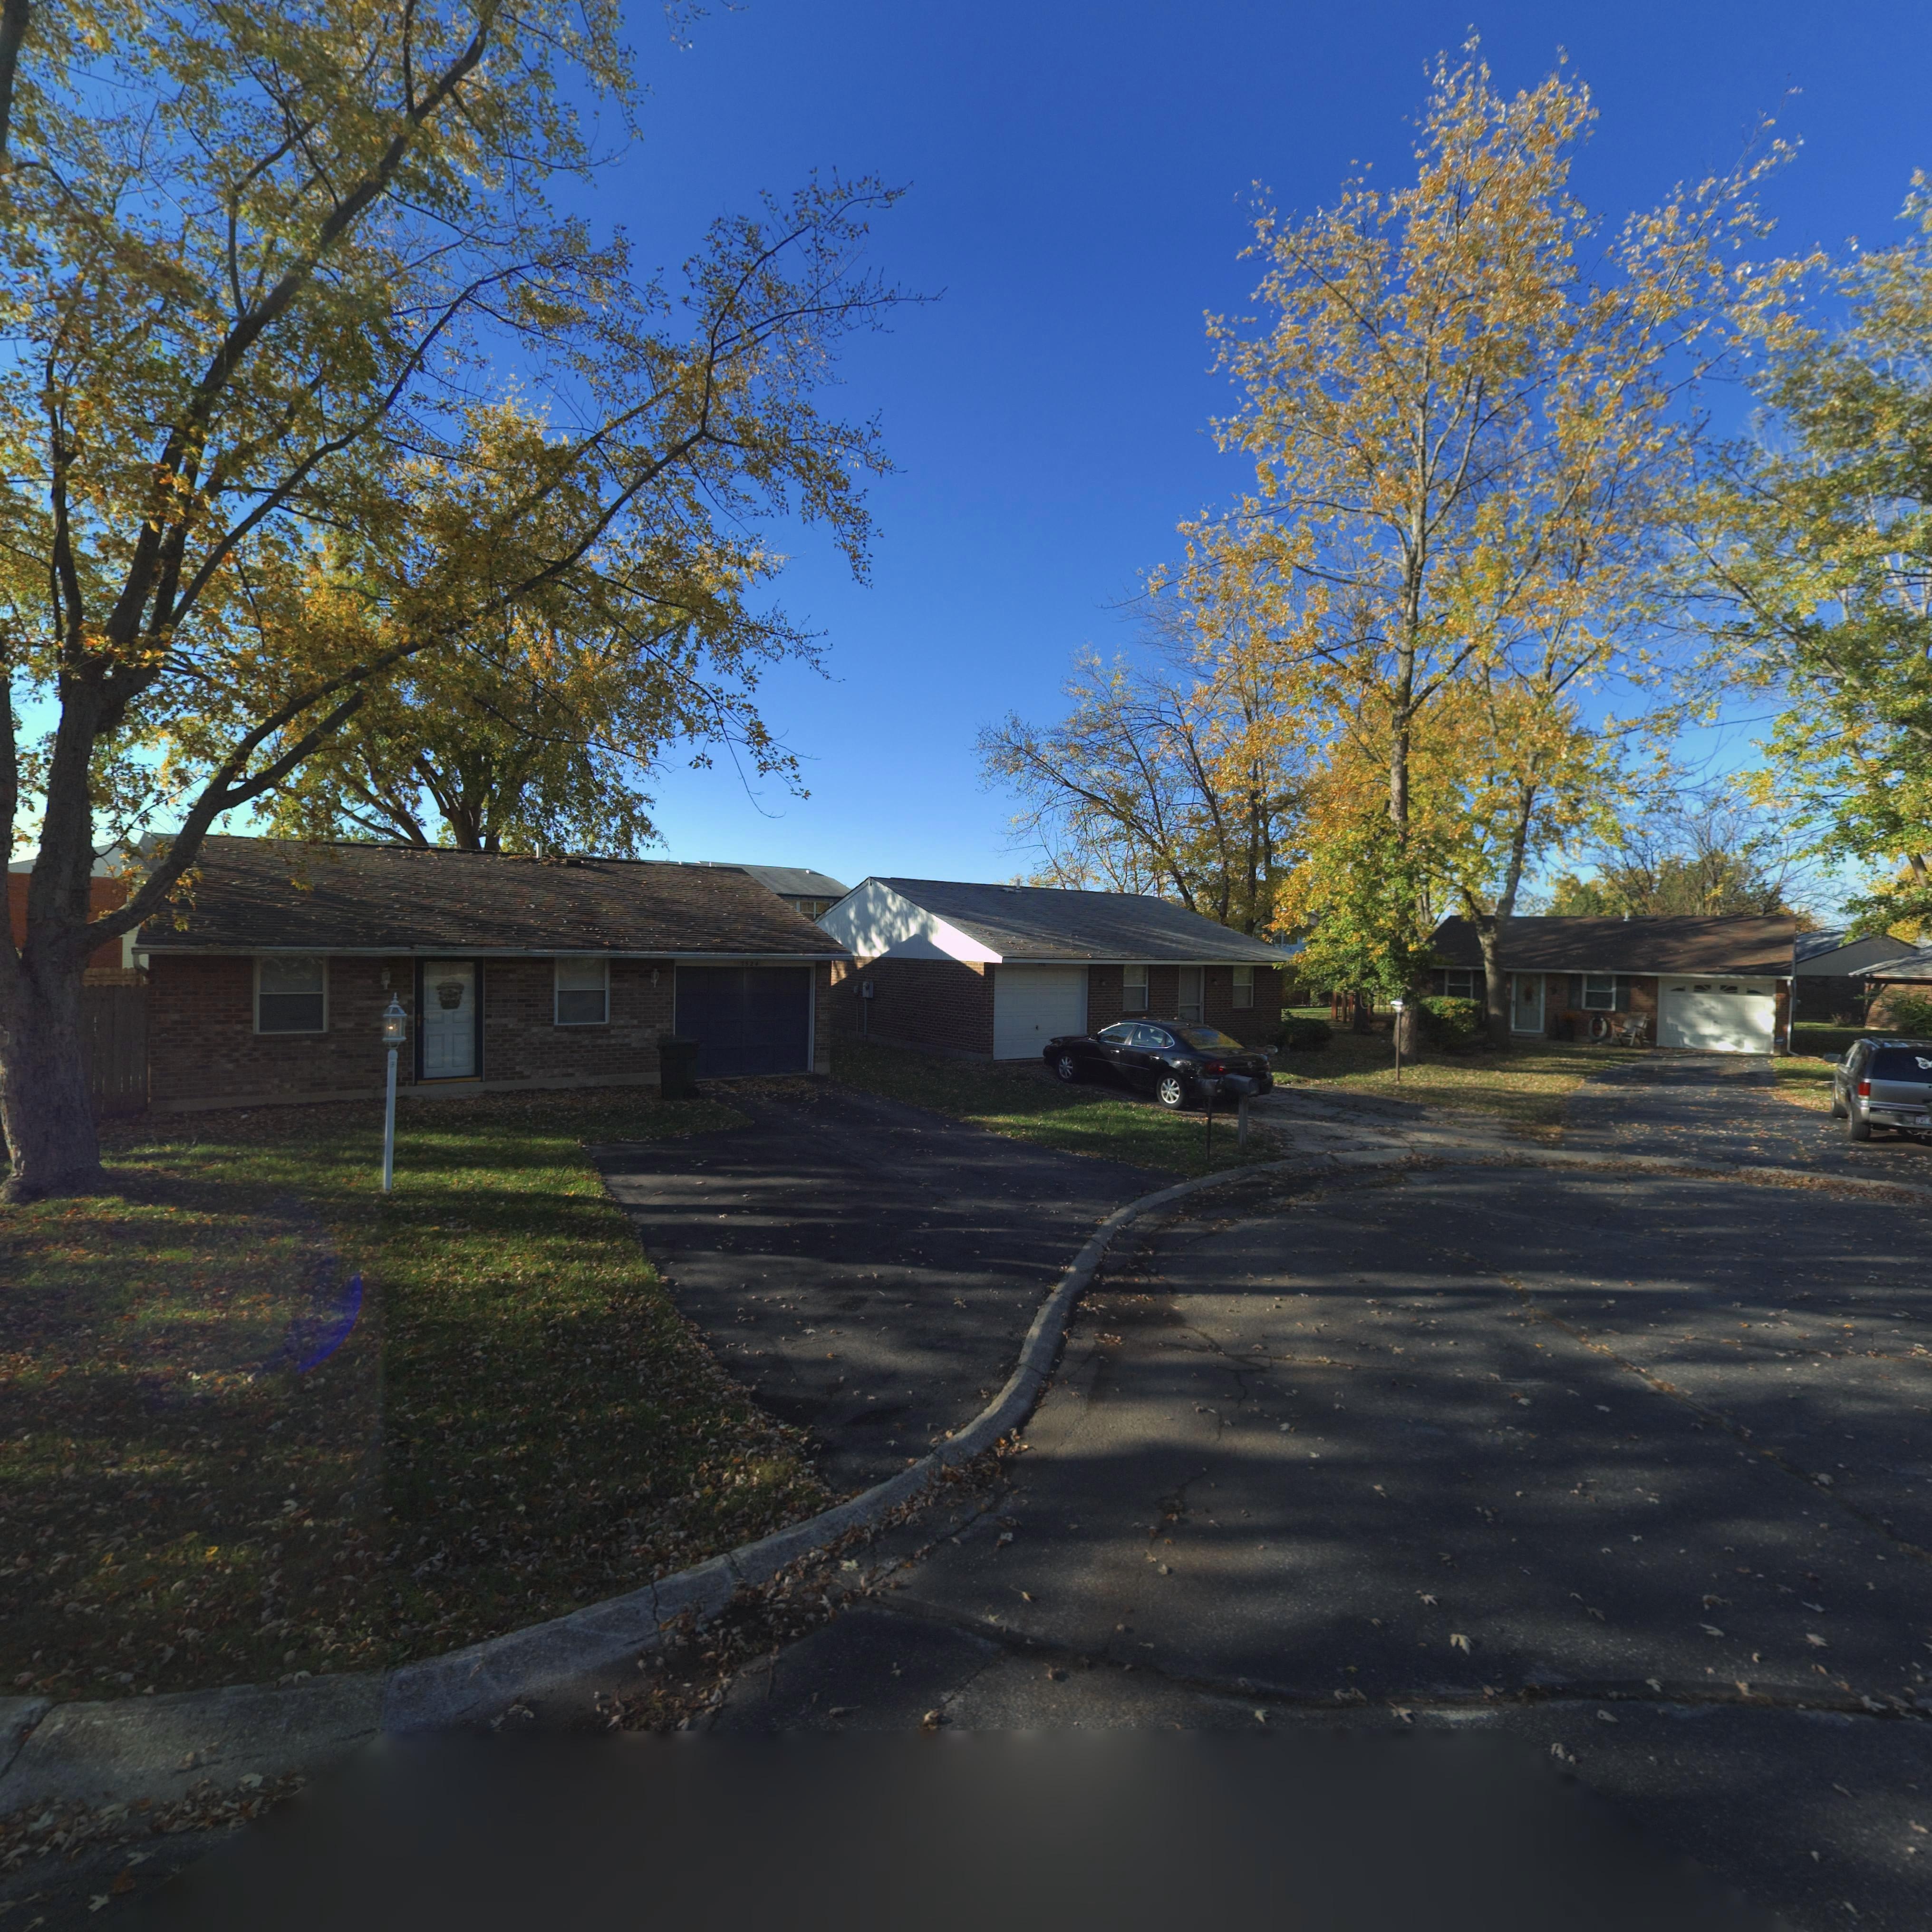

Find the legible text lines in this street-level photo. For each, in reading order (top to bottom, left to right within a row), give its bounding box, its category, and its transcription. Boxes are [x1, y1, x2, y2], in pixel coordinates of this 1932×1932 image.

[739, 960, 760, 968] StreetNumber: *52*